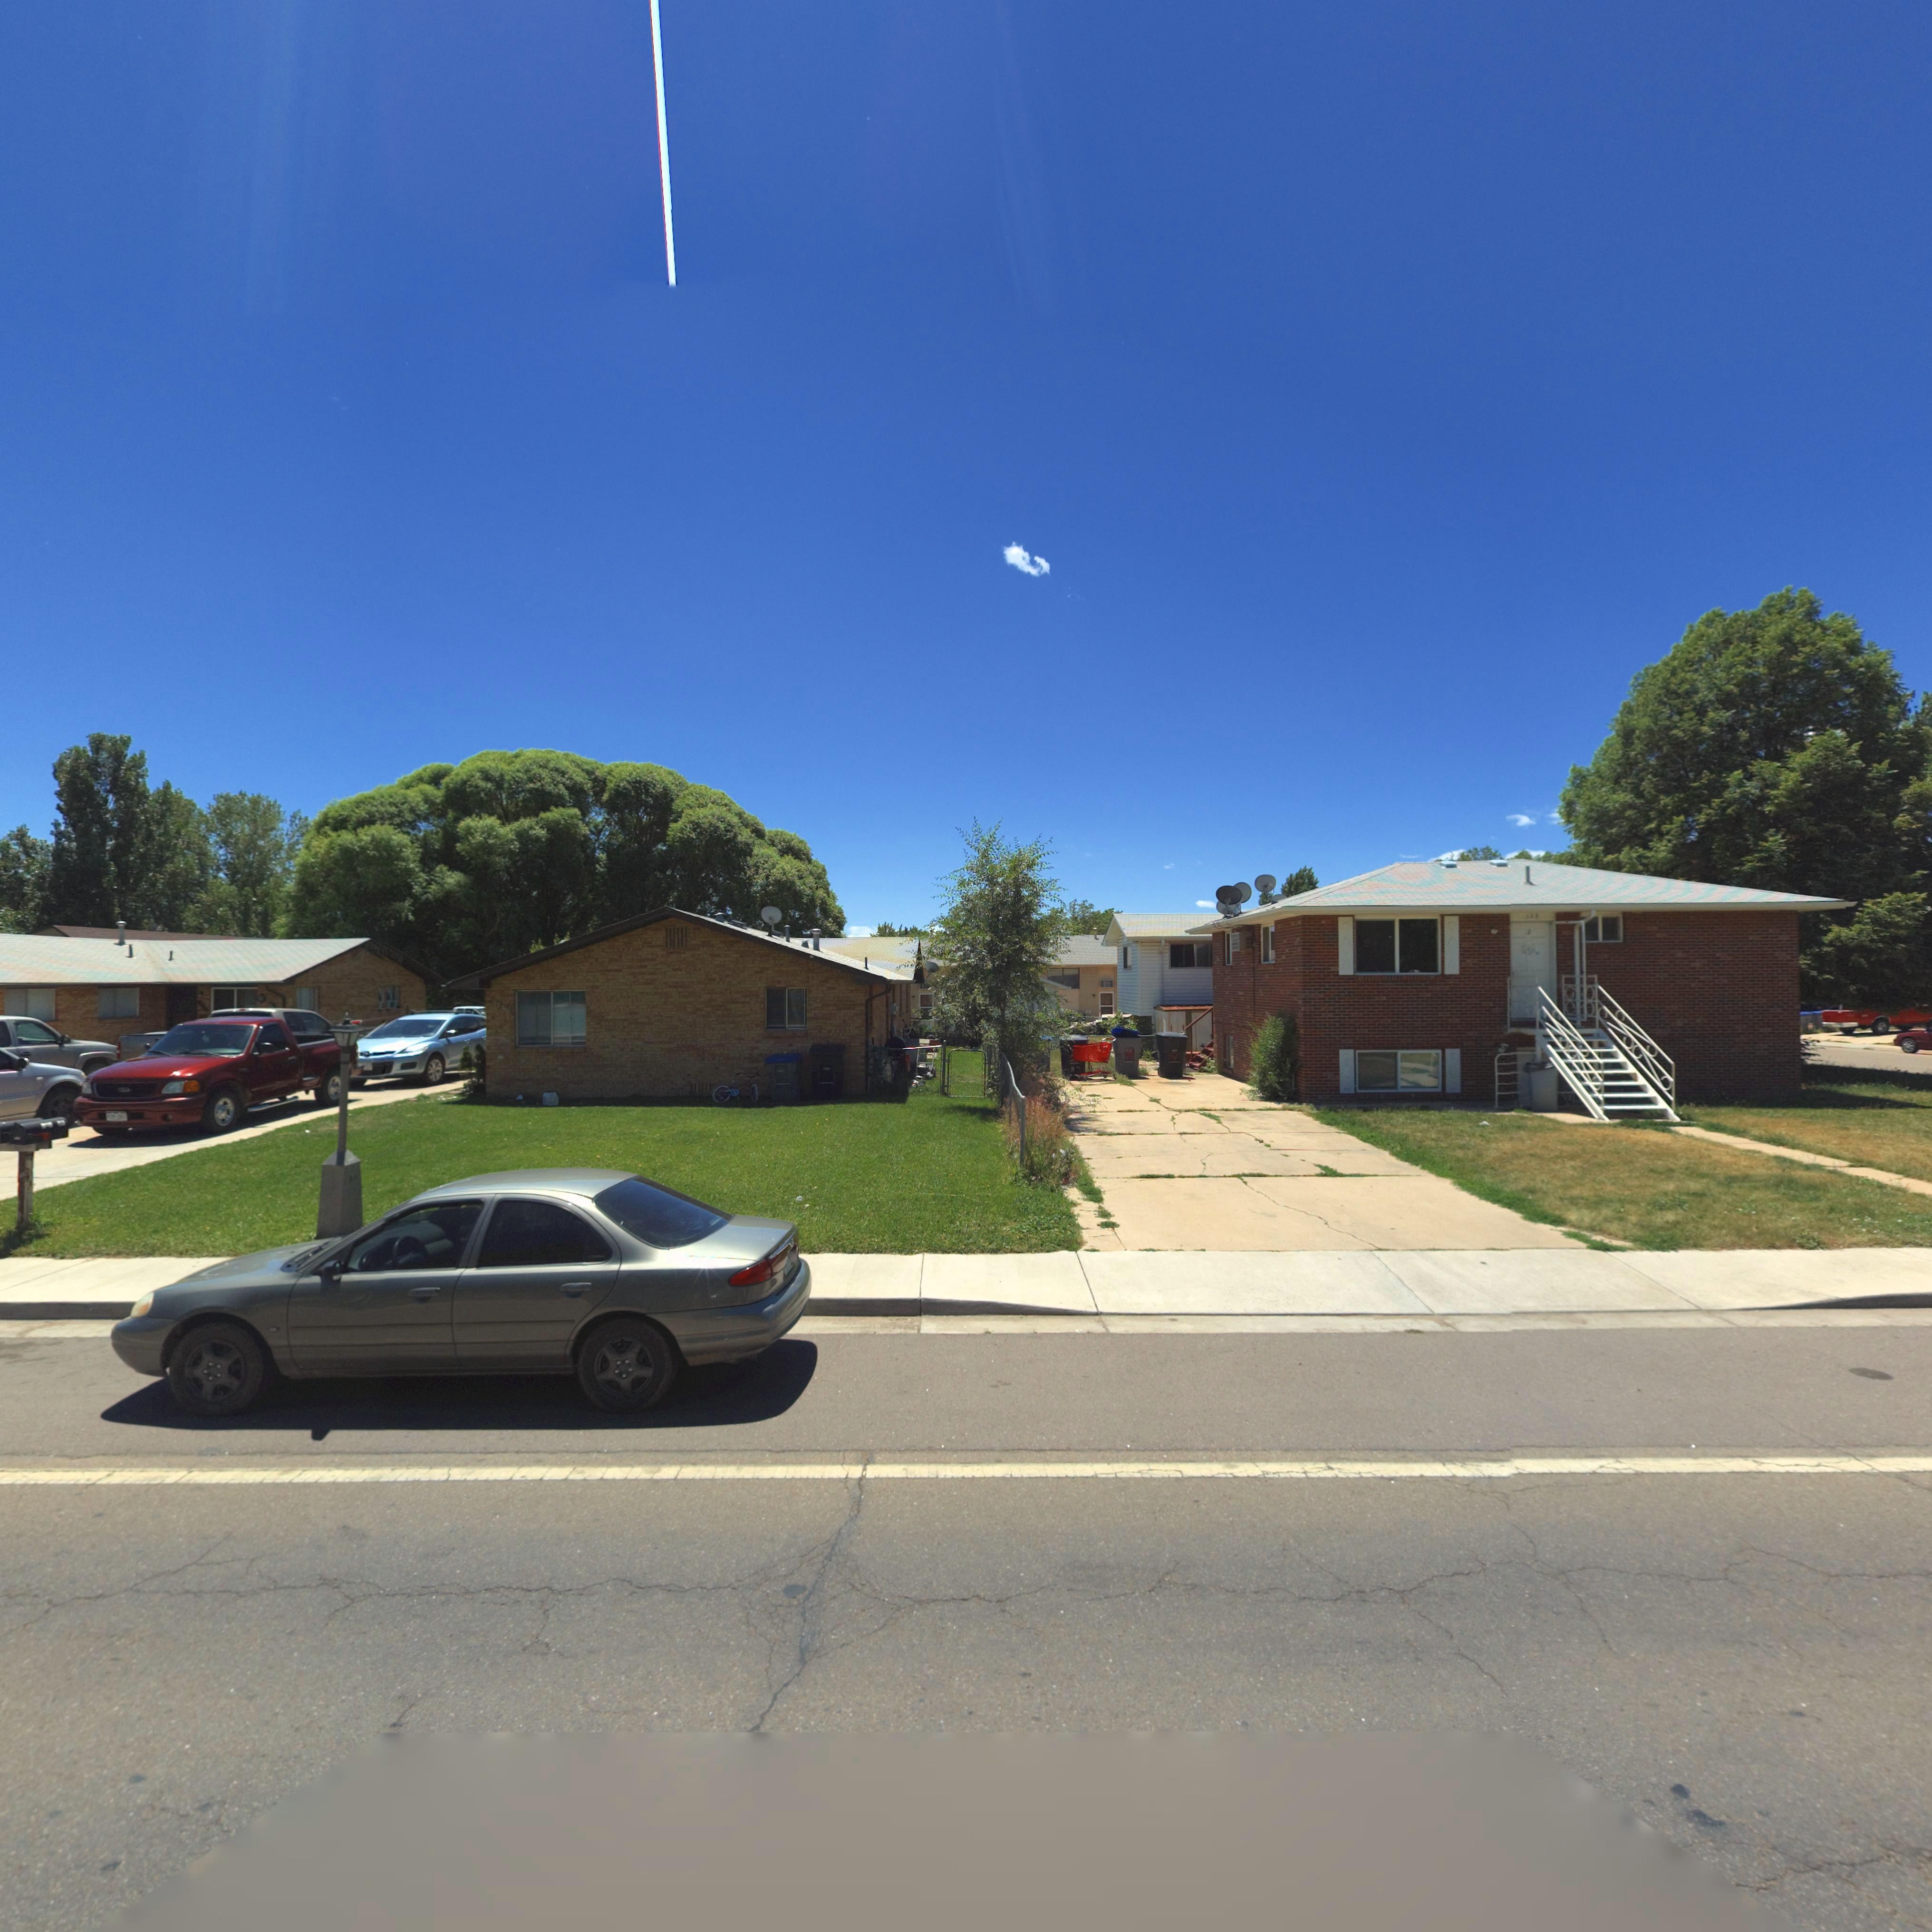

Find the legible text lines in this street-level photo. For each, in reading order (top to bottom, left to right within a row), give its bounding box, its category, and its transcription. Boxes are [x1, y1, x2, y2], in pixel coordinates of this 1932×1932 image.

[1524, 912, 1540, 919] StreetNumber: 133